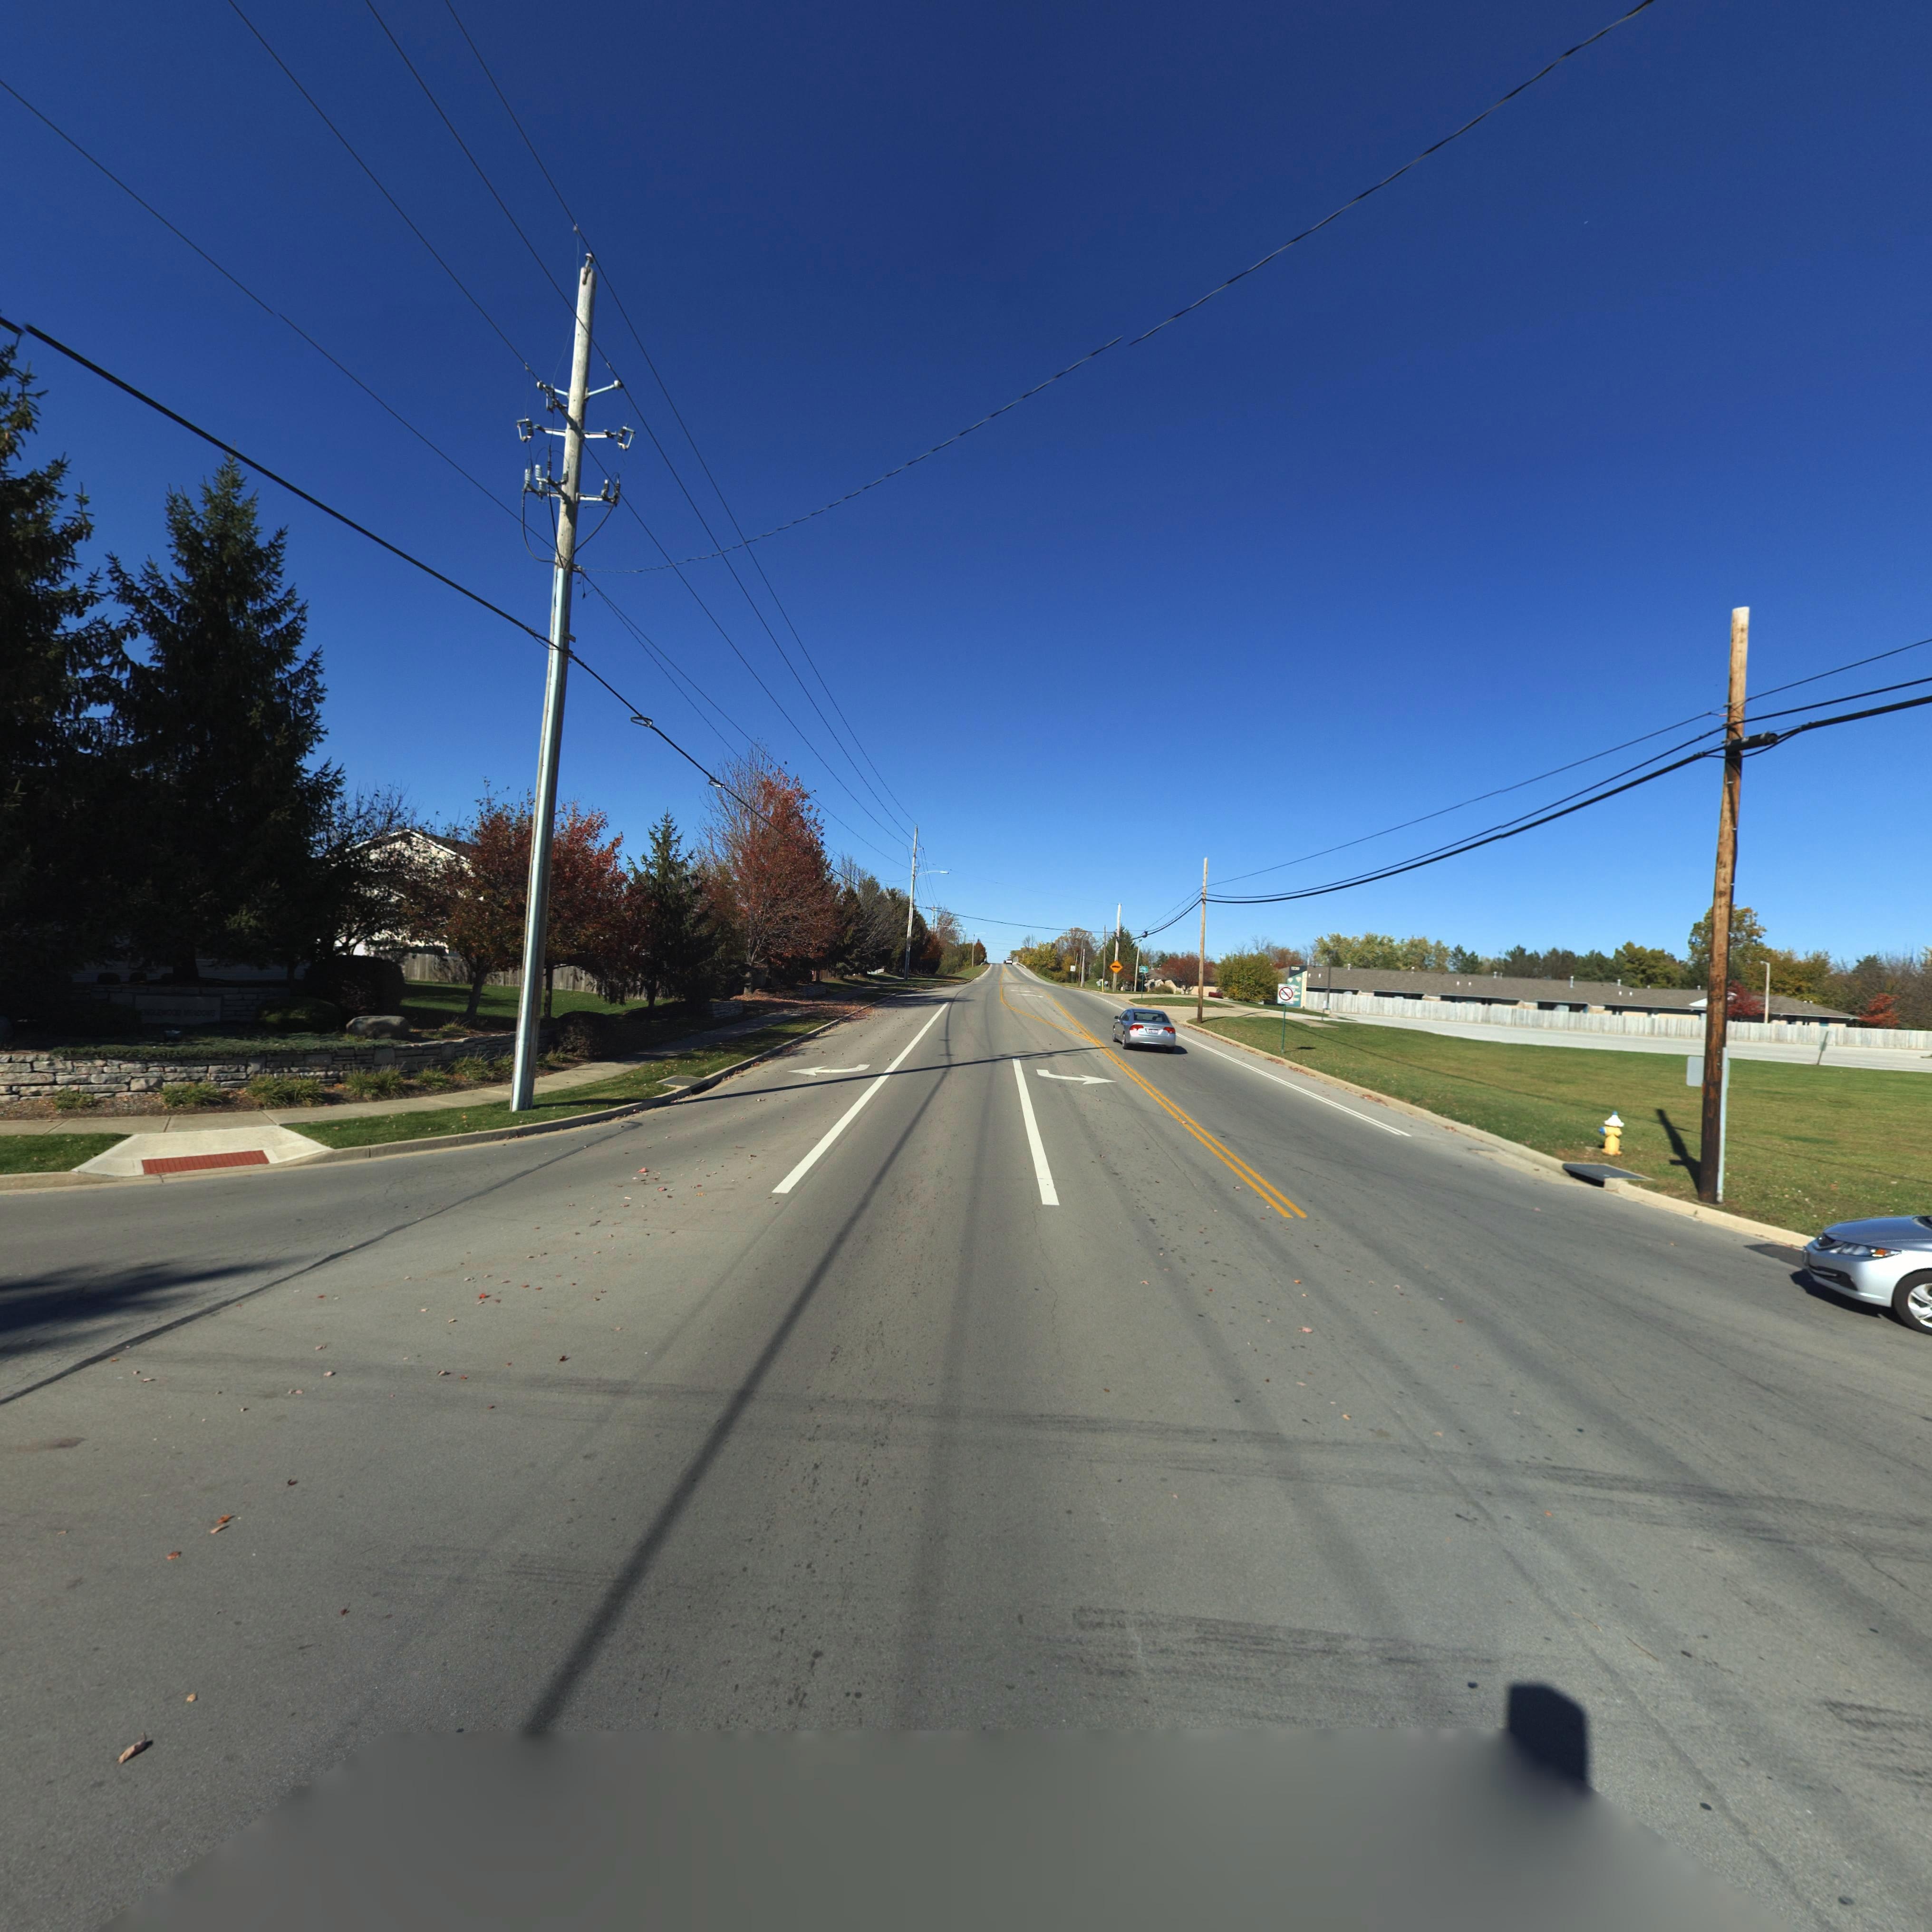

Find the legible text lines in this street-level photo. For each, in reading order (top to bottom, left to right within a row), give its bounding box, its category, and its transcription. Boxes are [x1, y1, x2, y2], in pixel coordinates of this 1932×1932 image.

[1291, 966, 1300, 970] StreetNumber: 1230